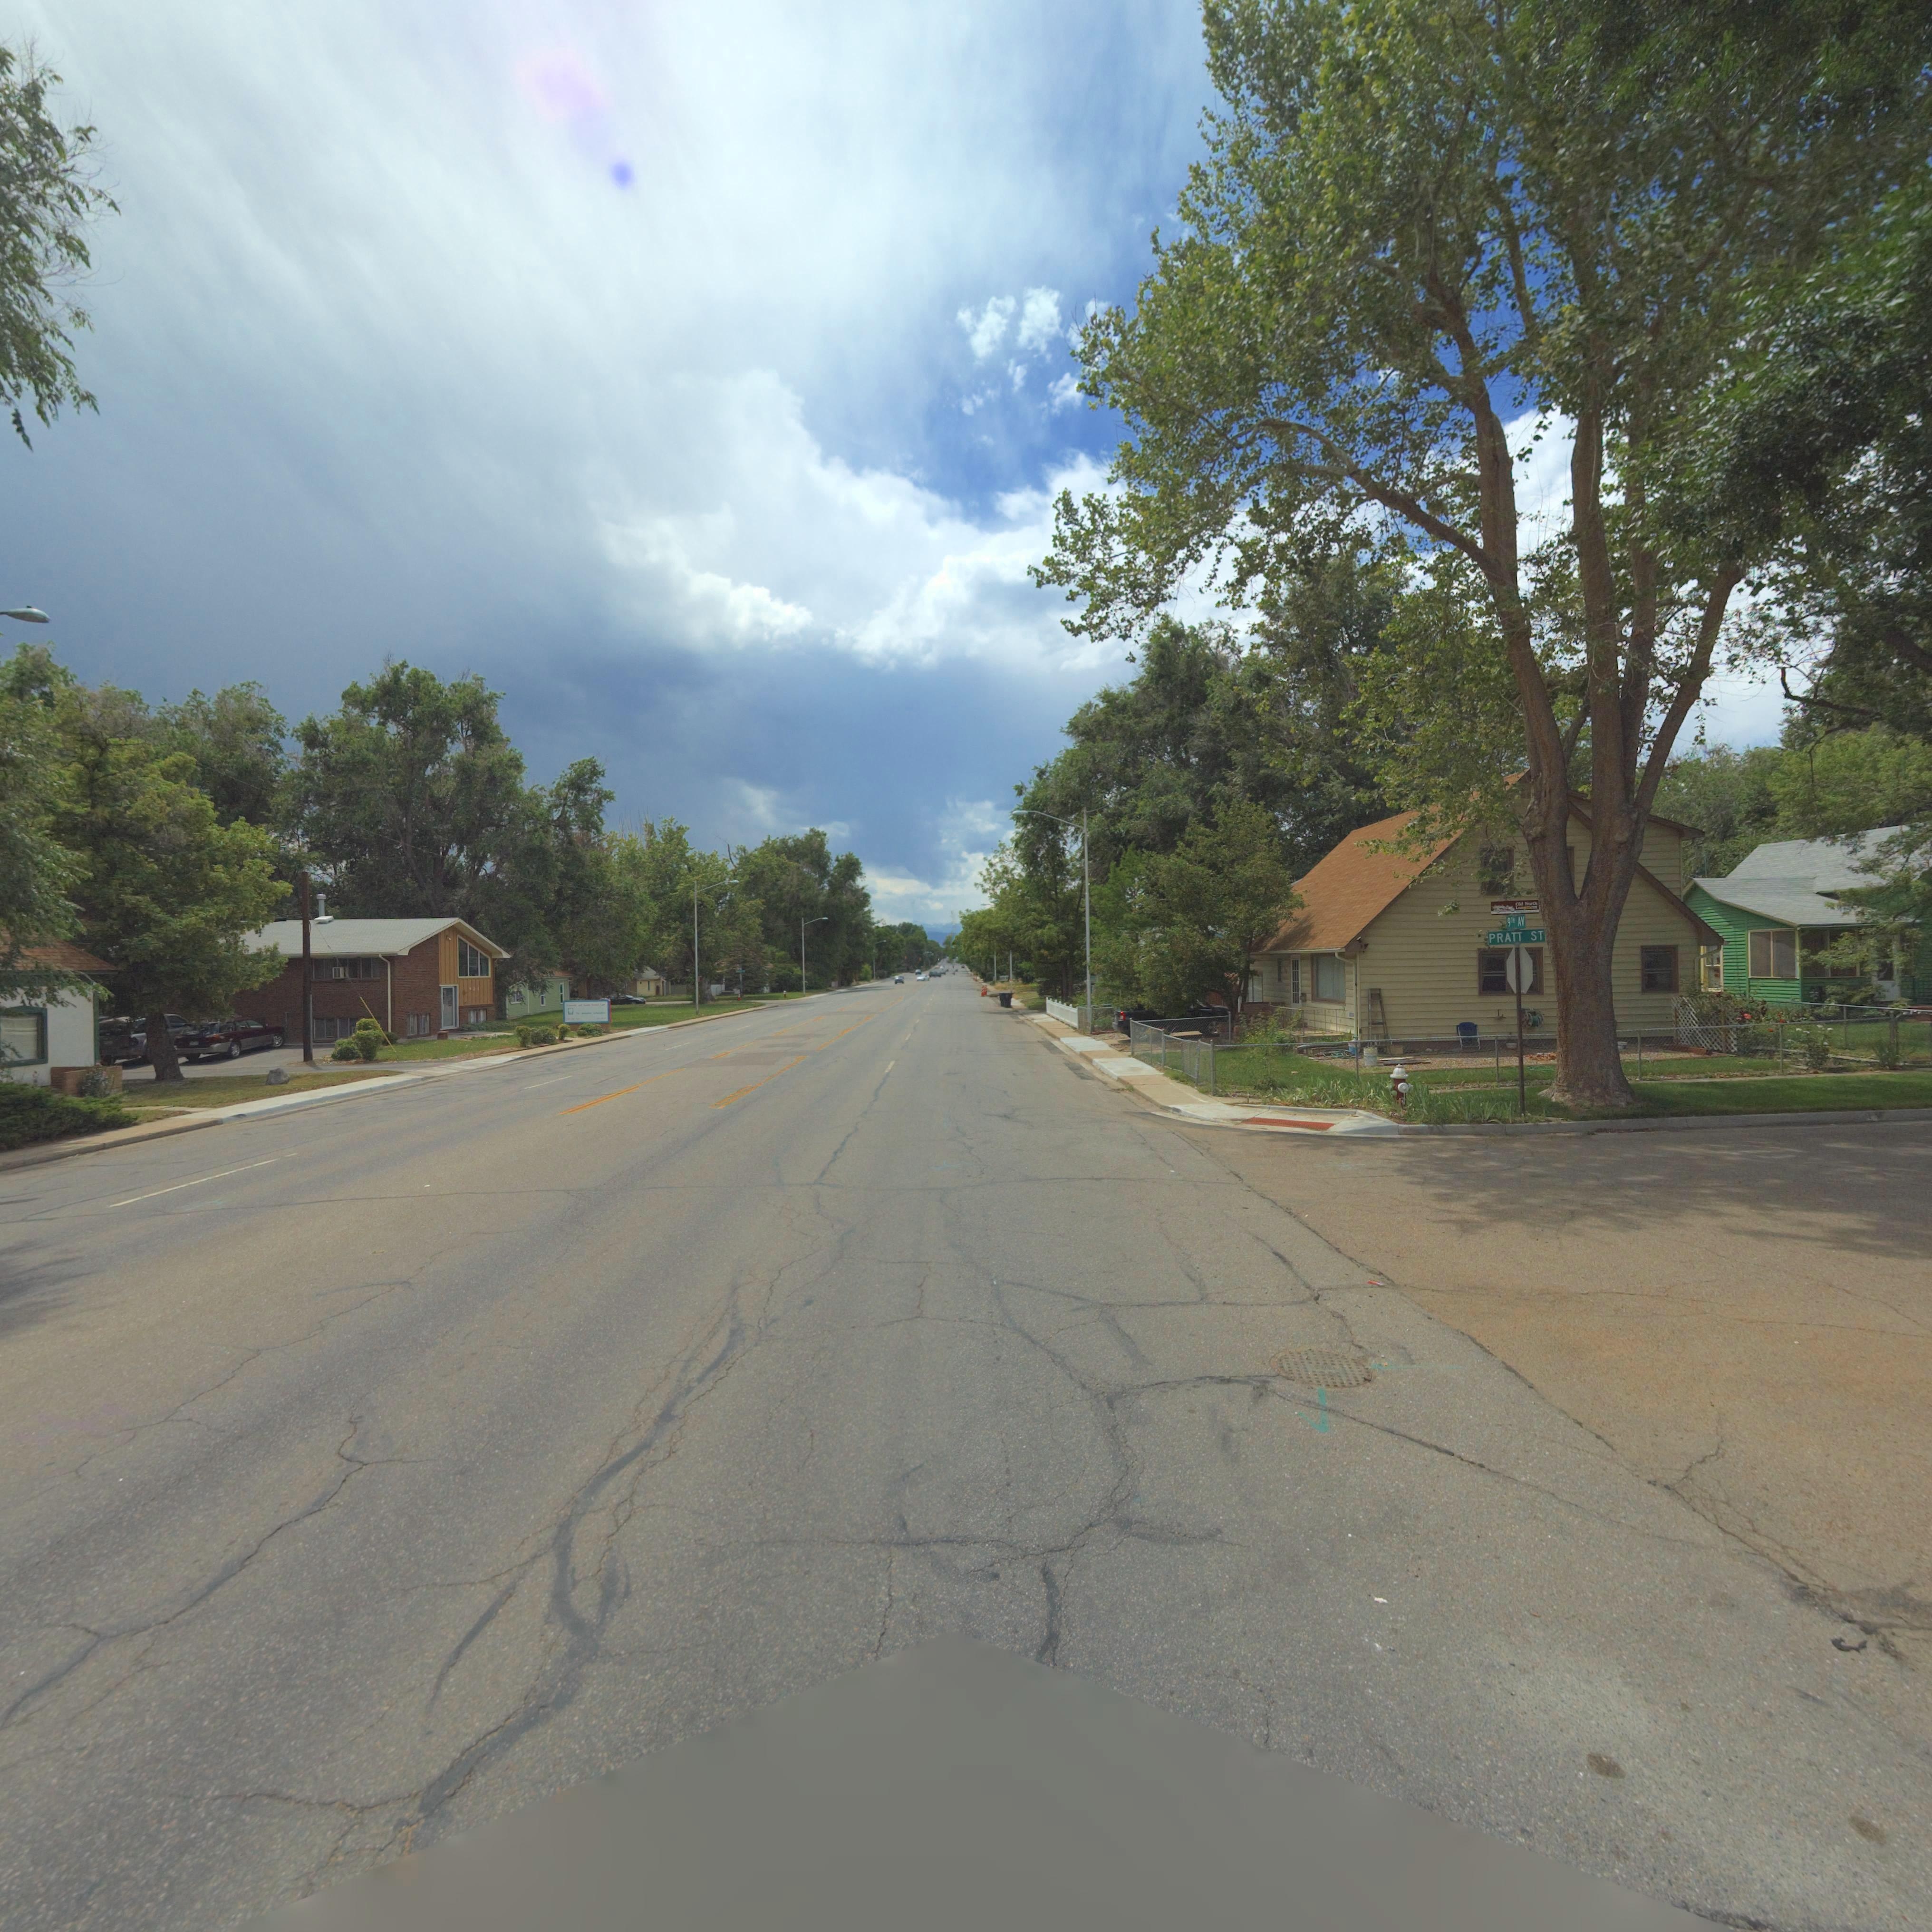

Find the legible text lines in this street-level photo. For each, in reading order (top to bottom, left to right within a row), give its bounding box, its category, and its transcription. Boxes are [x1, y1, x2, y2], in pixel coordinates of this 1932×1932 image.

[1506, 915, 1525, 927] StreetName: 9TH AV
[1488, 930, 1544, 943] StreetName: PRATT ST
[468, 986, 479, 991] StreetNumber: *21